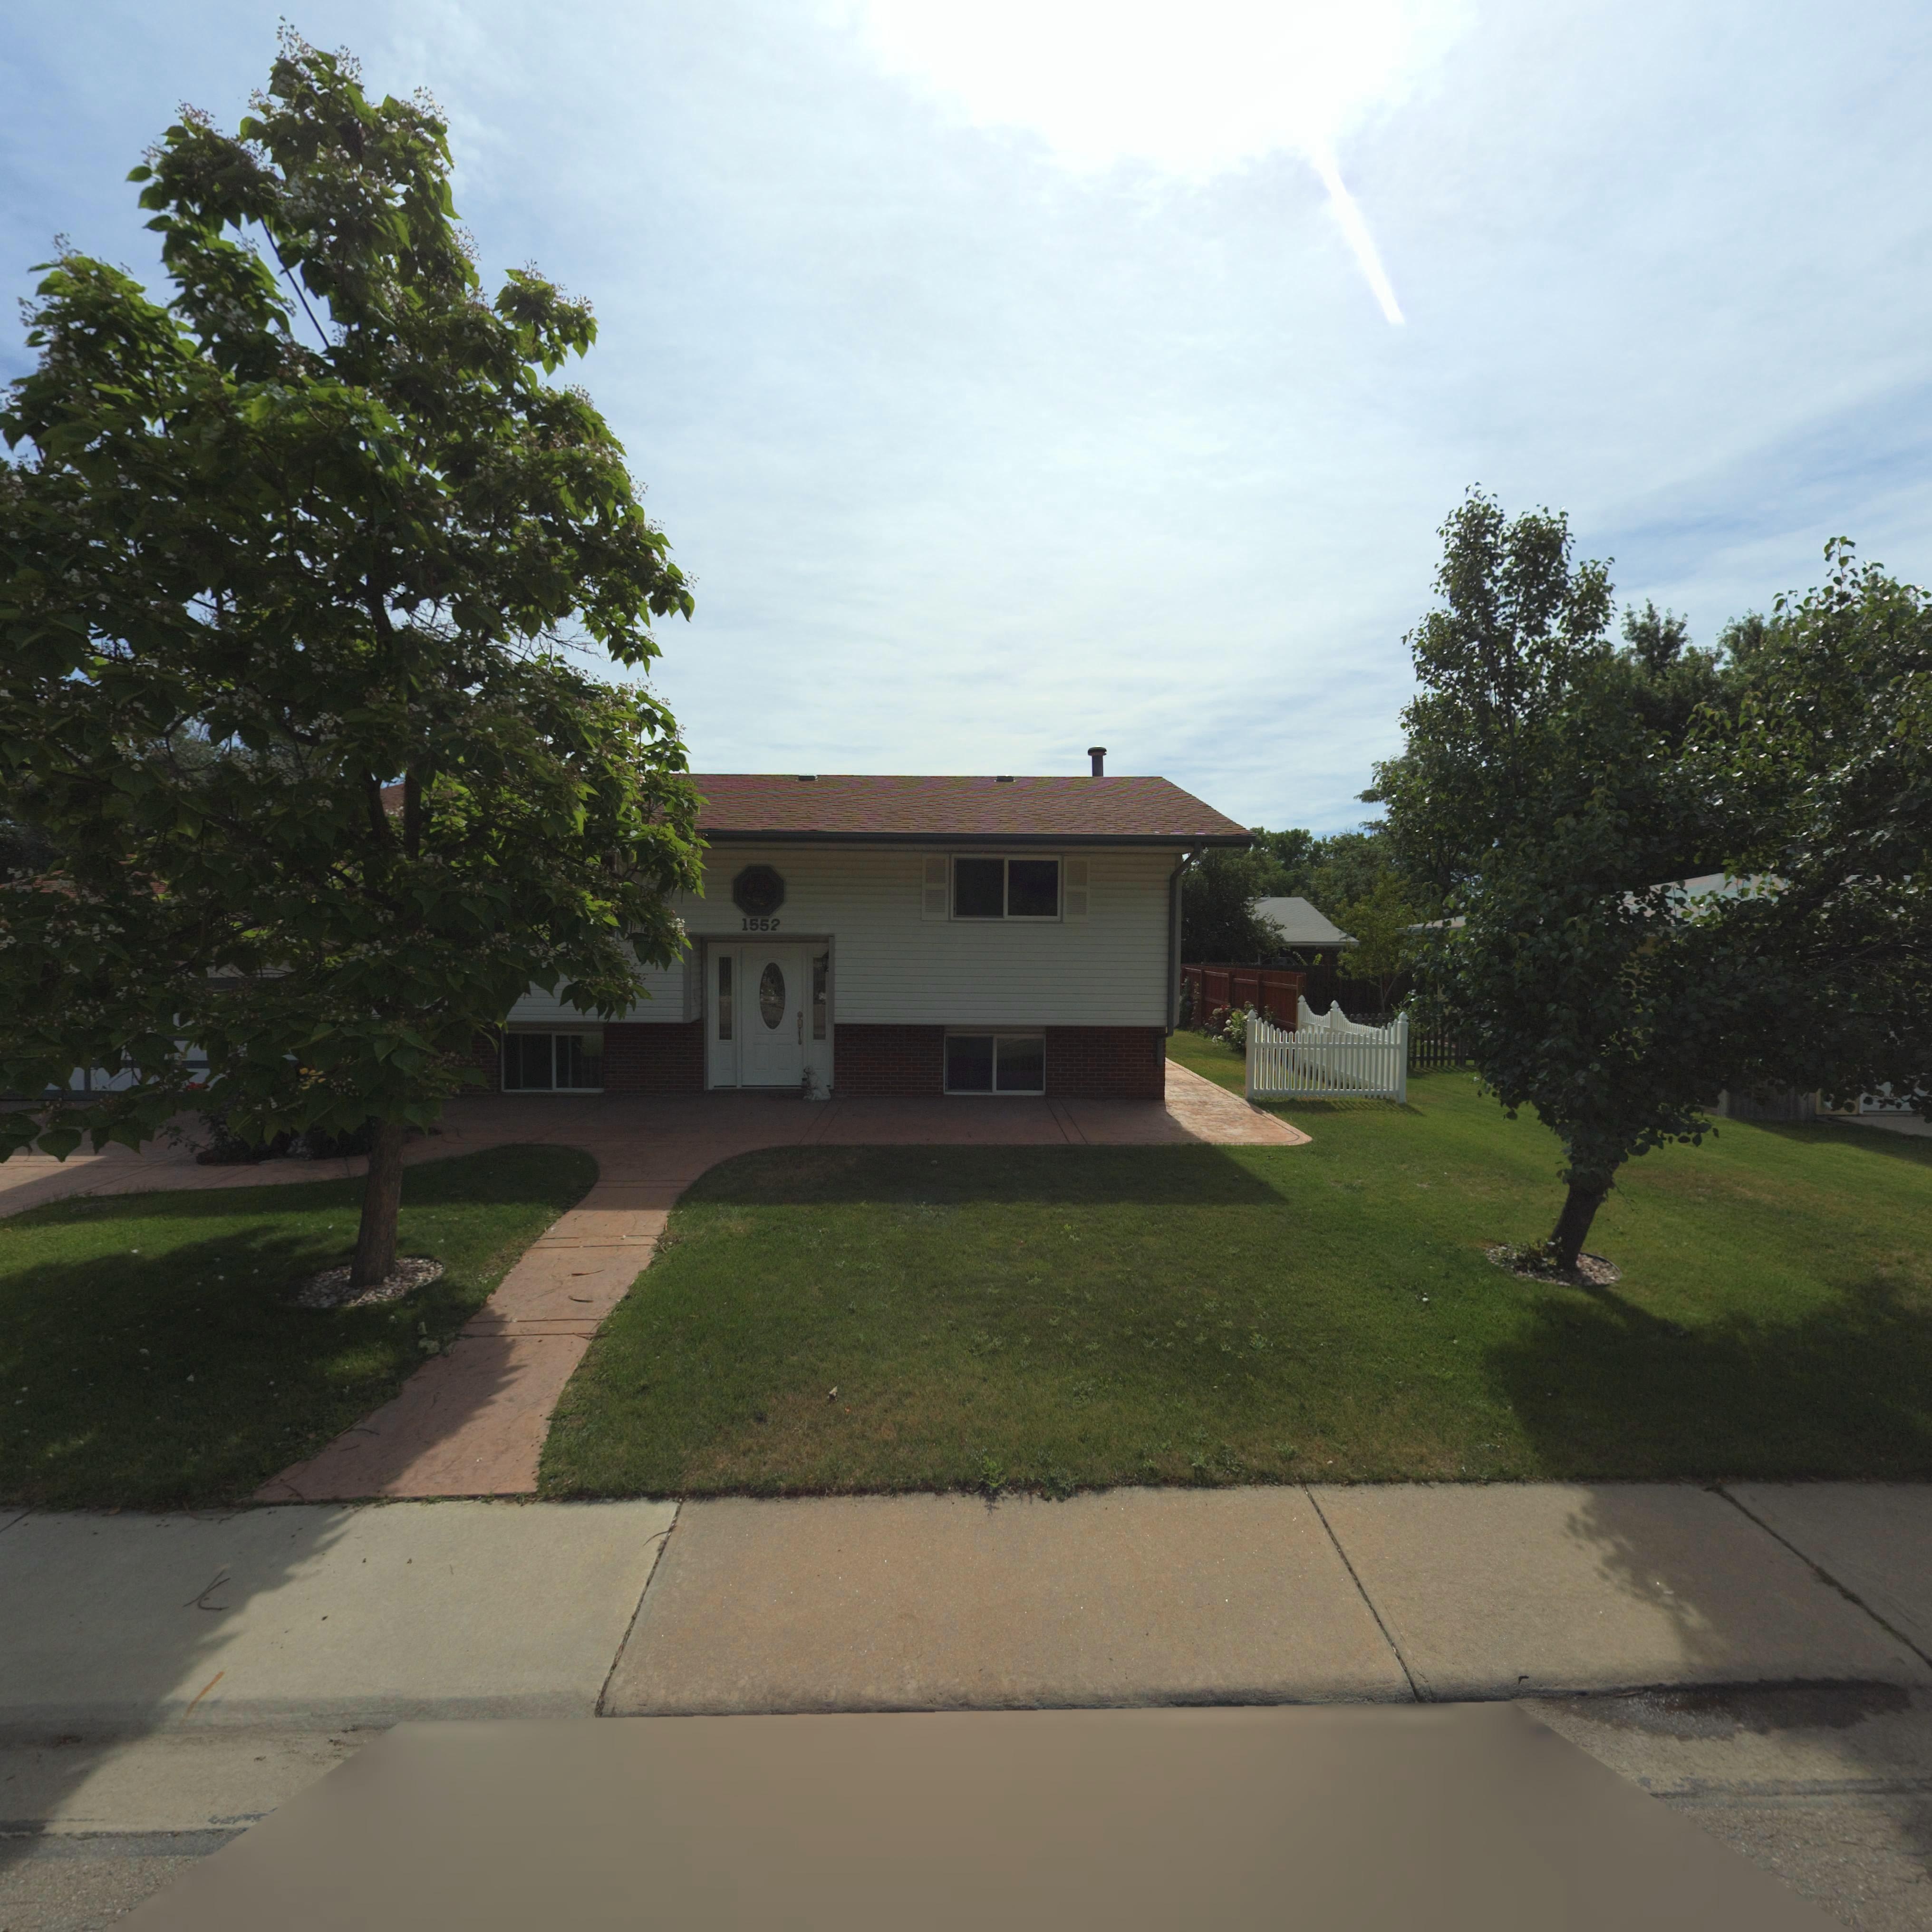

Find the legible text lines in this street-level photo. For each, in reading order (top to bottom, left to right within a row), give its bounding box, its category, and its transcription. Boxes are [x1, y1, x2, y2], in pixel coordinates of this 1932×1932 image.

[740, 917, 781, 931] StreetNumber: 1552